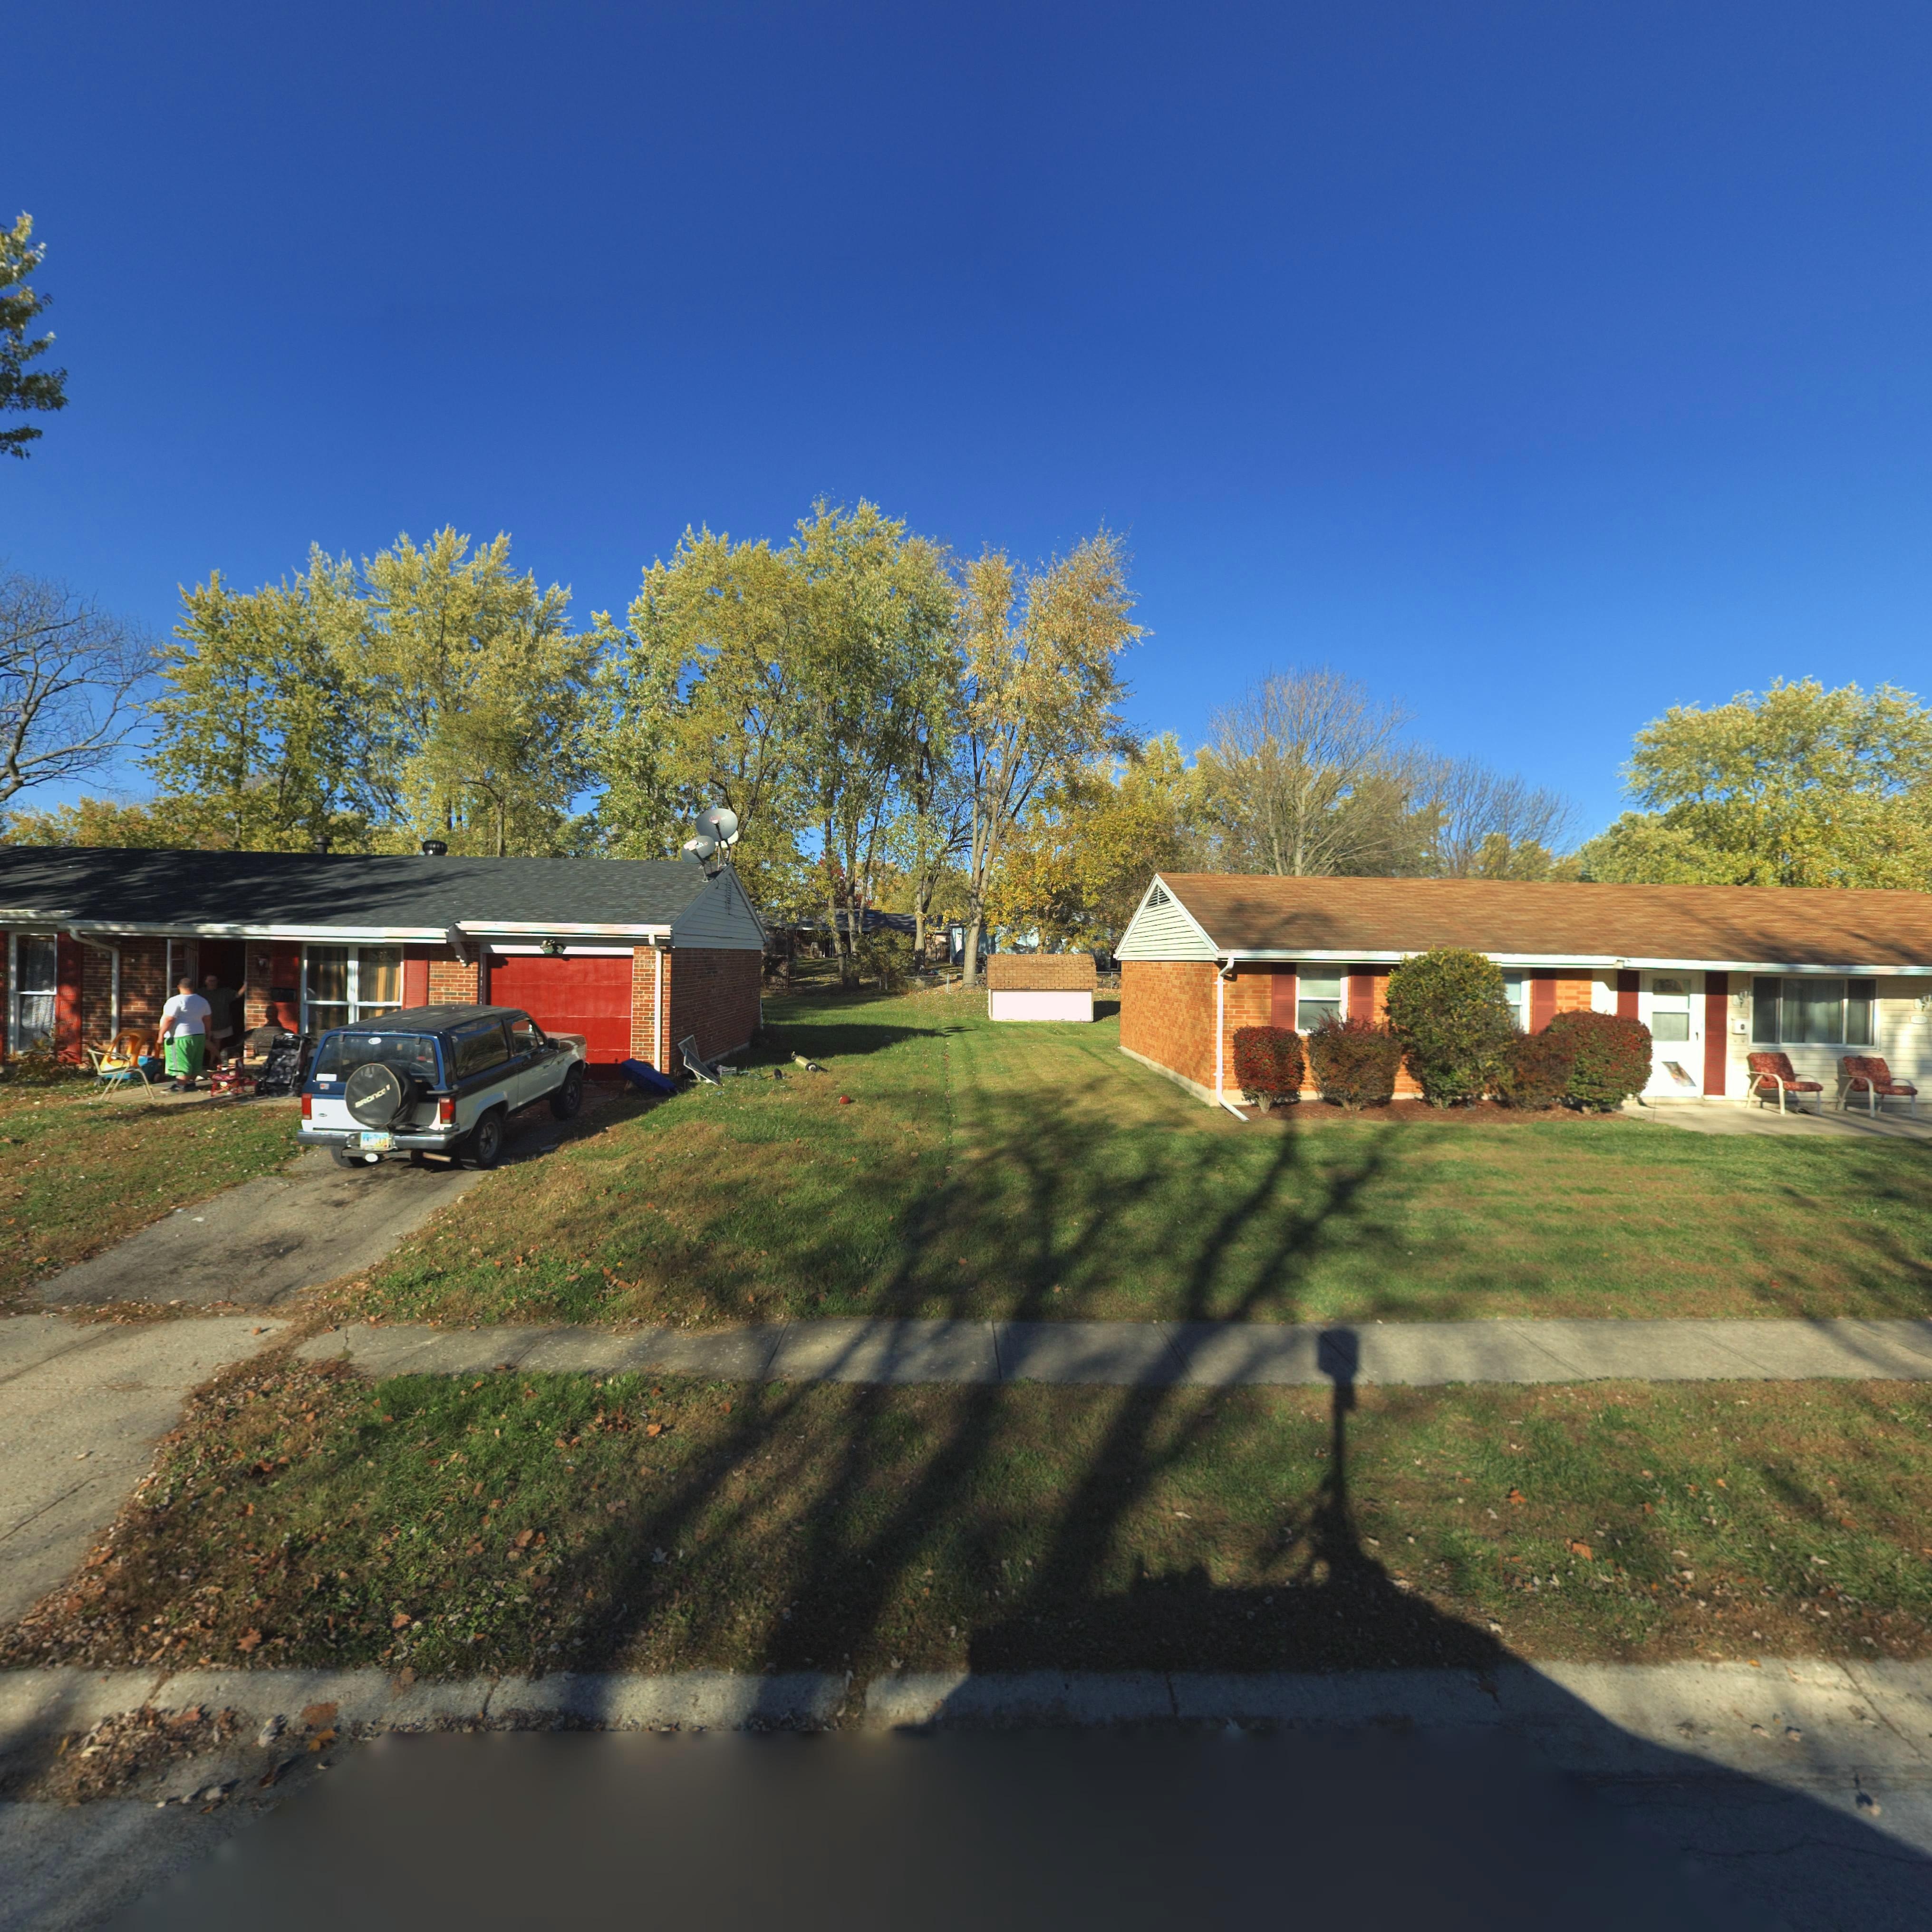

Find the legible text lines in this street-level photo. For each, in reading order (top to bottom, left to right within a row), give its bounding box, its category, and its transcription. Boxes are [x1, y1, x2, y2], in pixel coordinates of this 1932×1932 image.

[557, 945, 562, 952] StreetNumber: 9